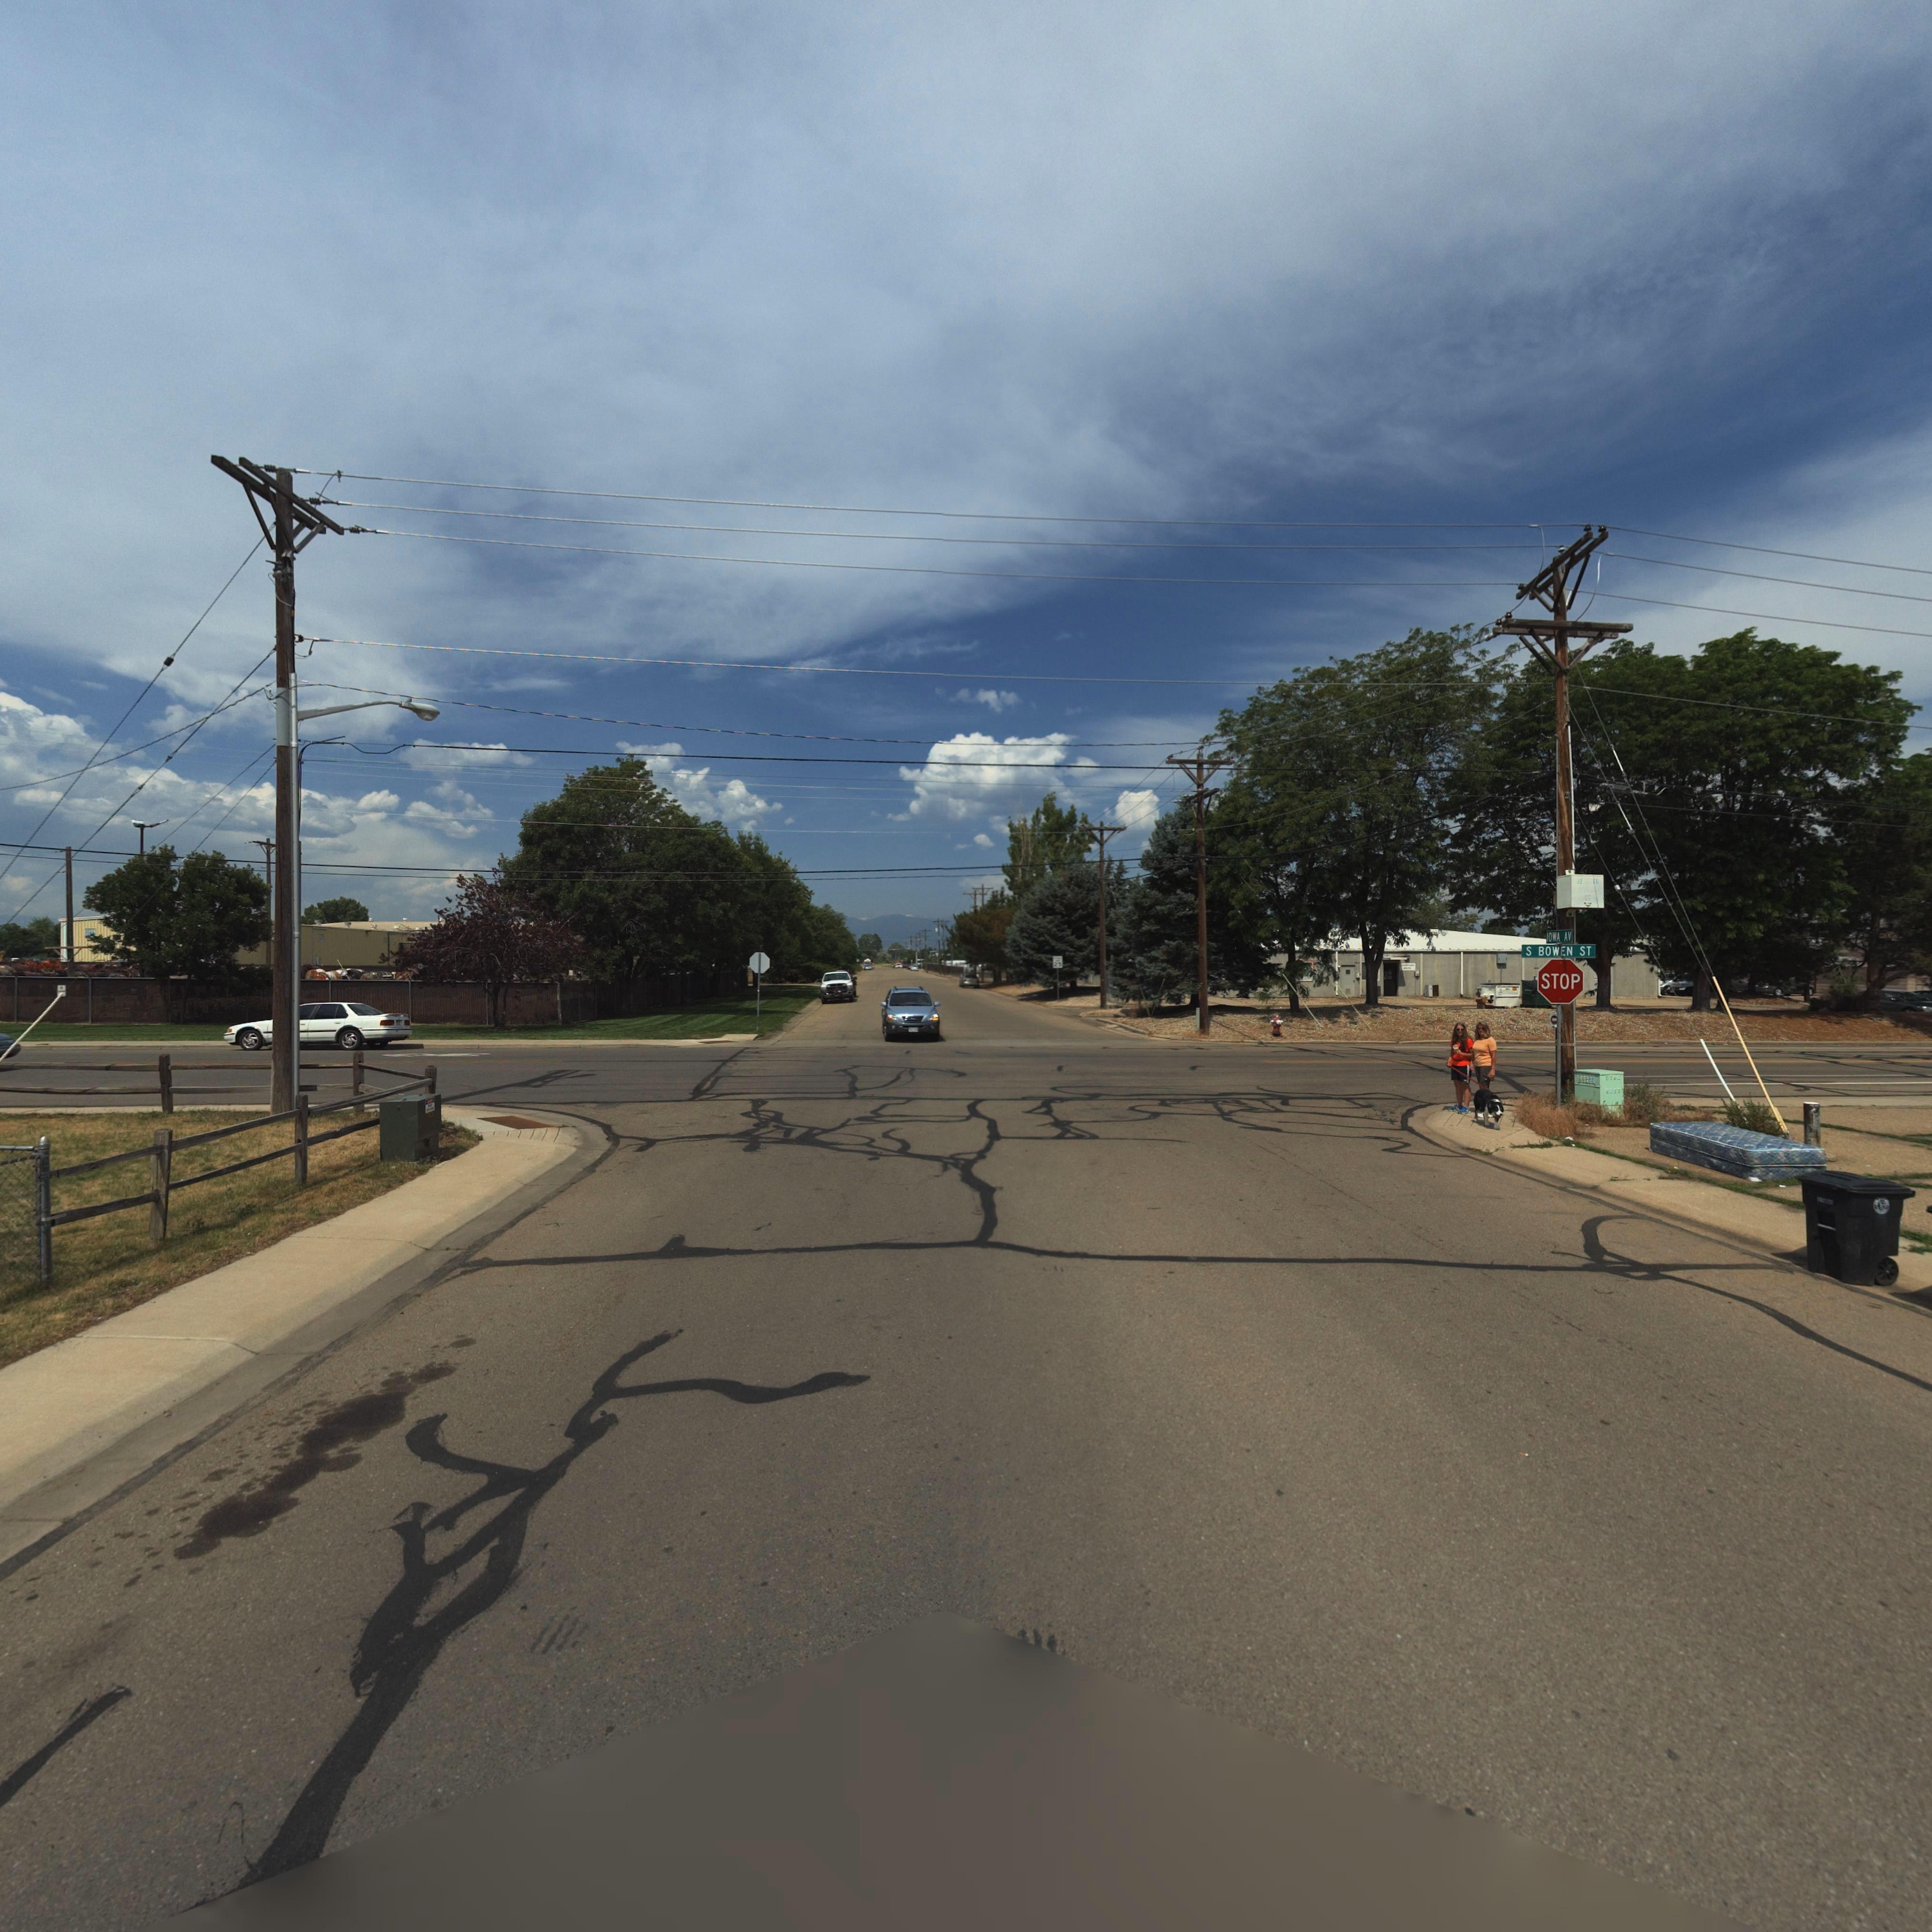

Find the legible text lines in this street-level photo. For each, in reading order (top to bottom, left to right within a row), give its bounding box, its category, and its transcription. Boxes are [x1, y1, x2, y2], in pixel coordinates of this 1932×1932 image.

[1546, 931, 1572, 942] StreetName: IOWA AV
[1525, 946, 1592, 956] StreetName: S BOWEN ST